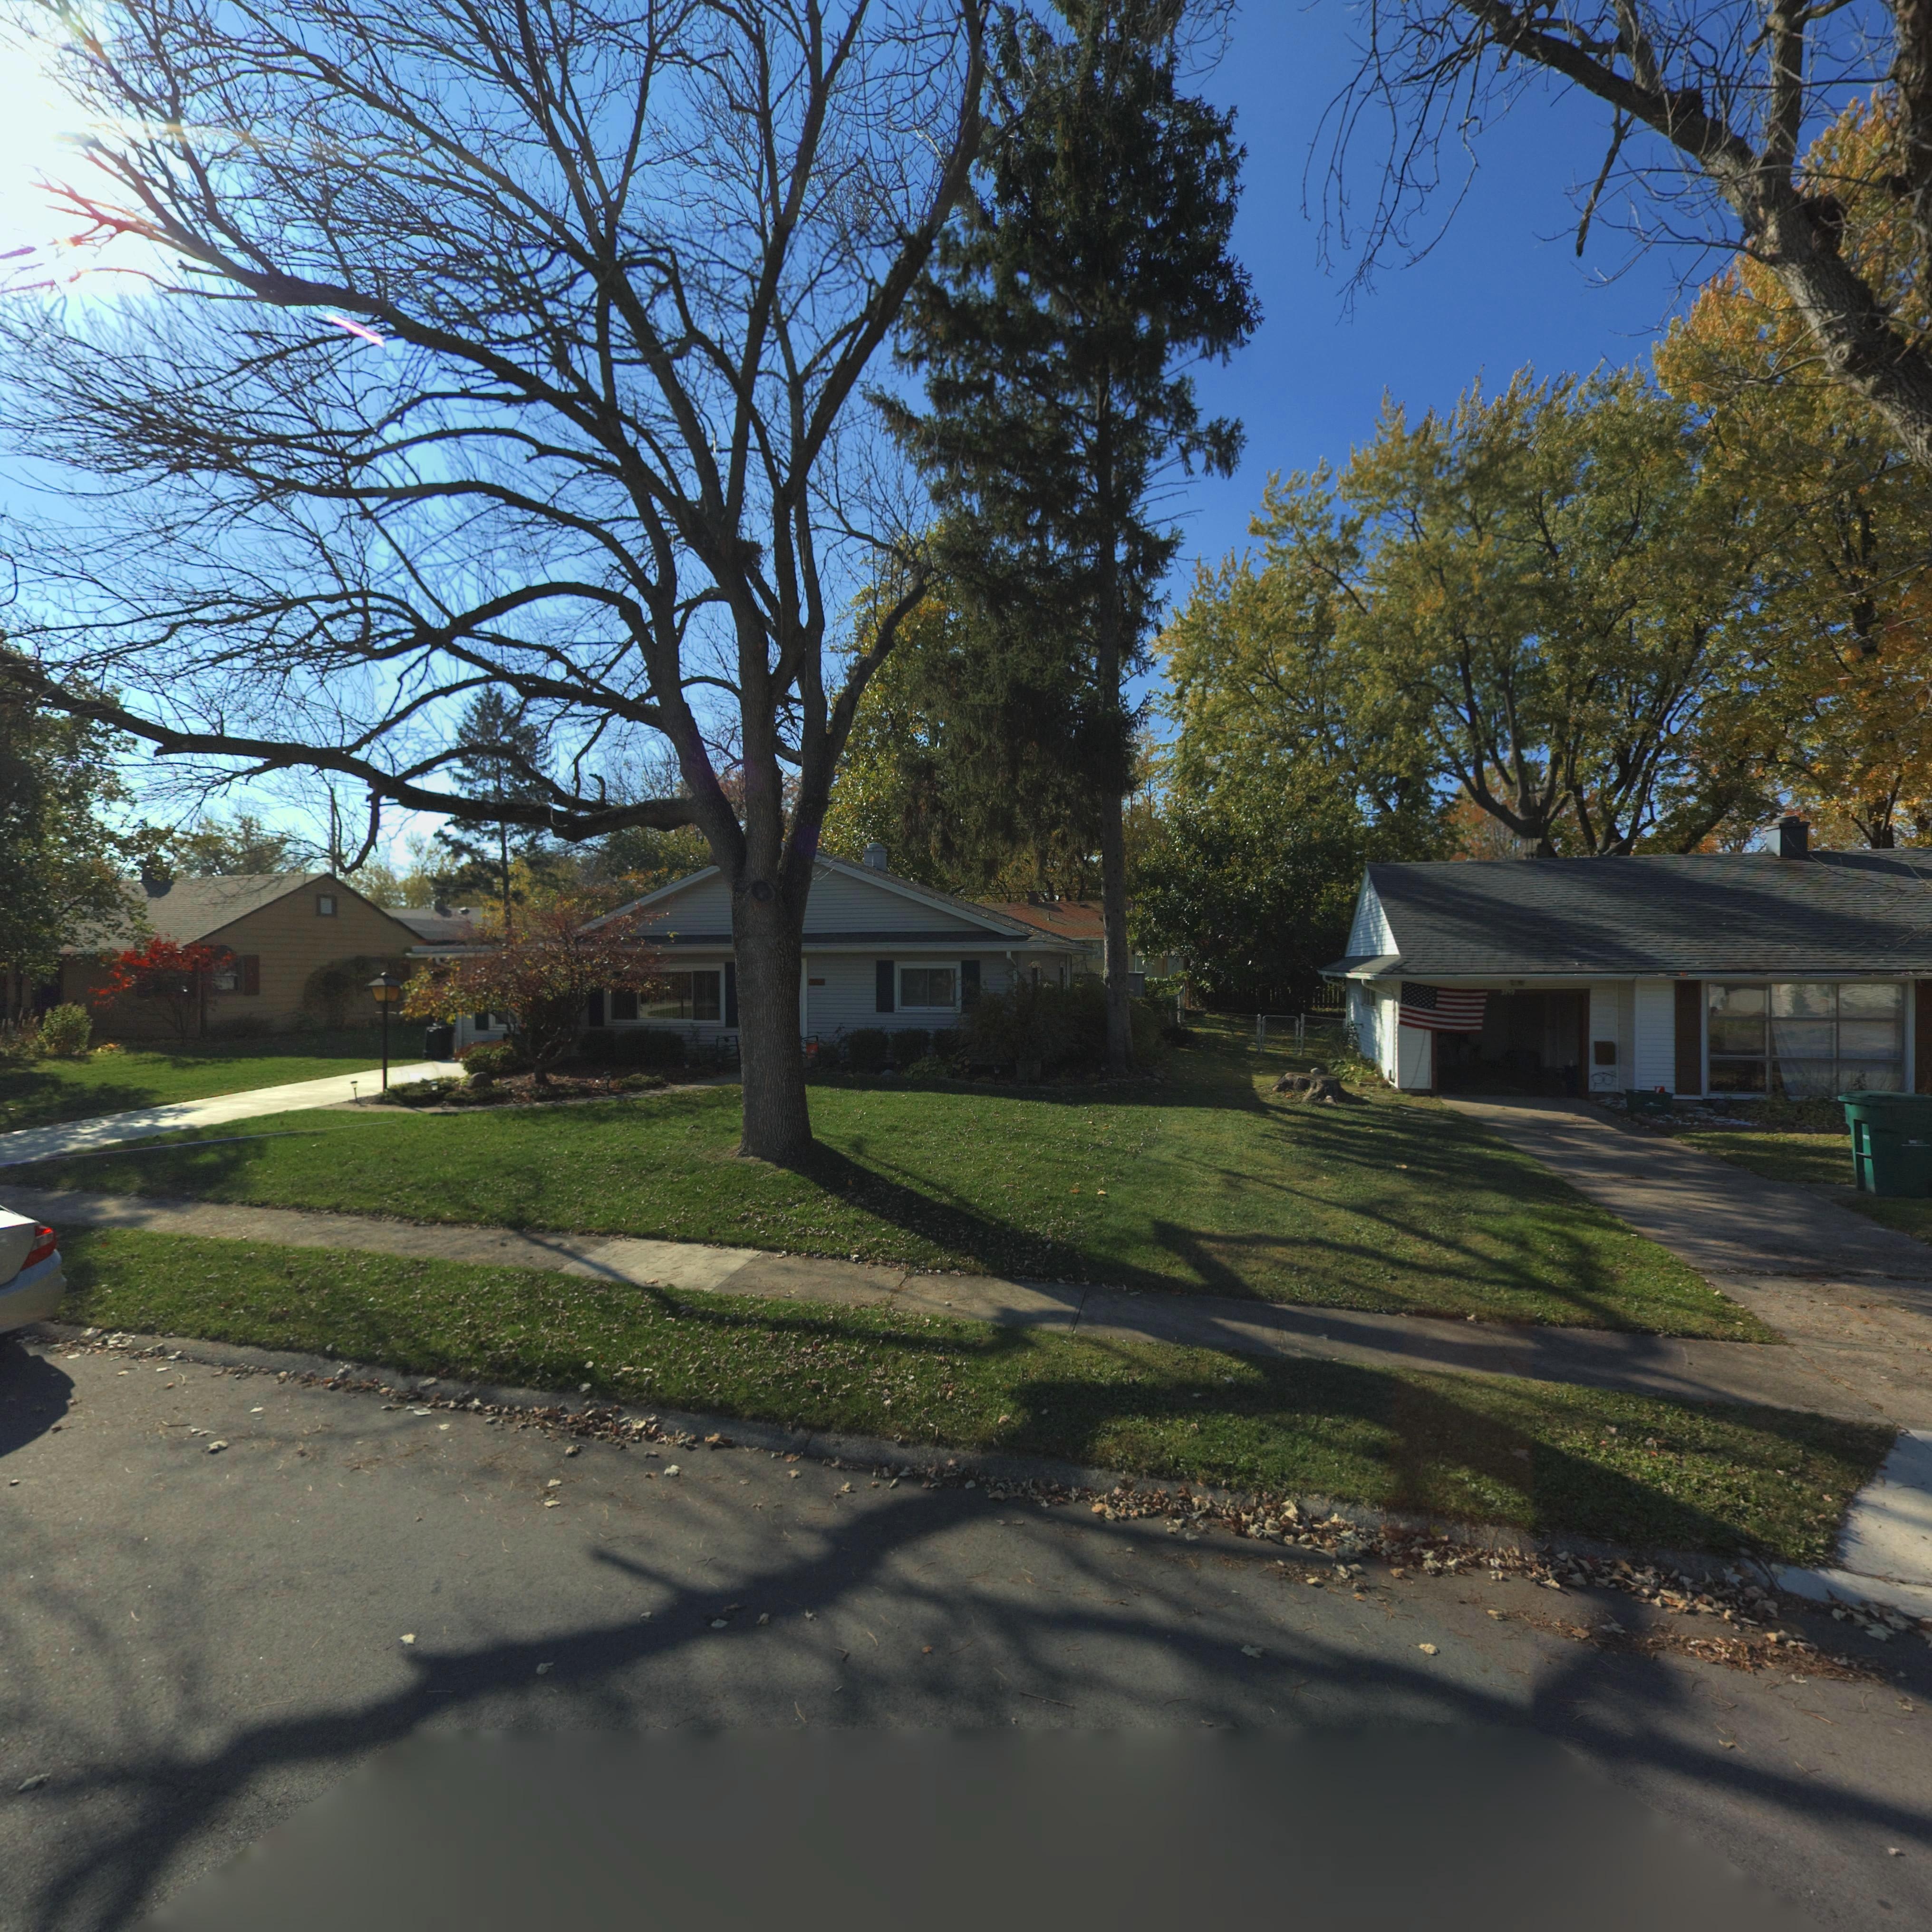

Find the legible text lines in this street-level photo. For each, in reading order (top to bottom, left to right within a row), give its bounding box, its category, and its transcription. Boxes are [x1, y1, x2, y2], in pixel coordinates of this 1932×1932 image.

[1500, 989, 1516, 995] StreetNumber: 374*
[1908, 1139, 1926, 1144] None: WM